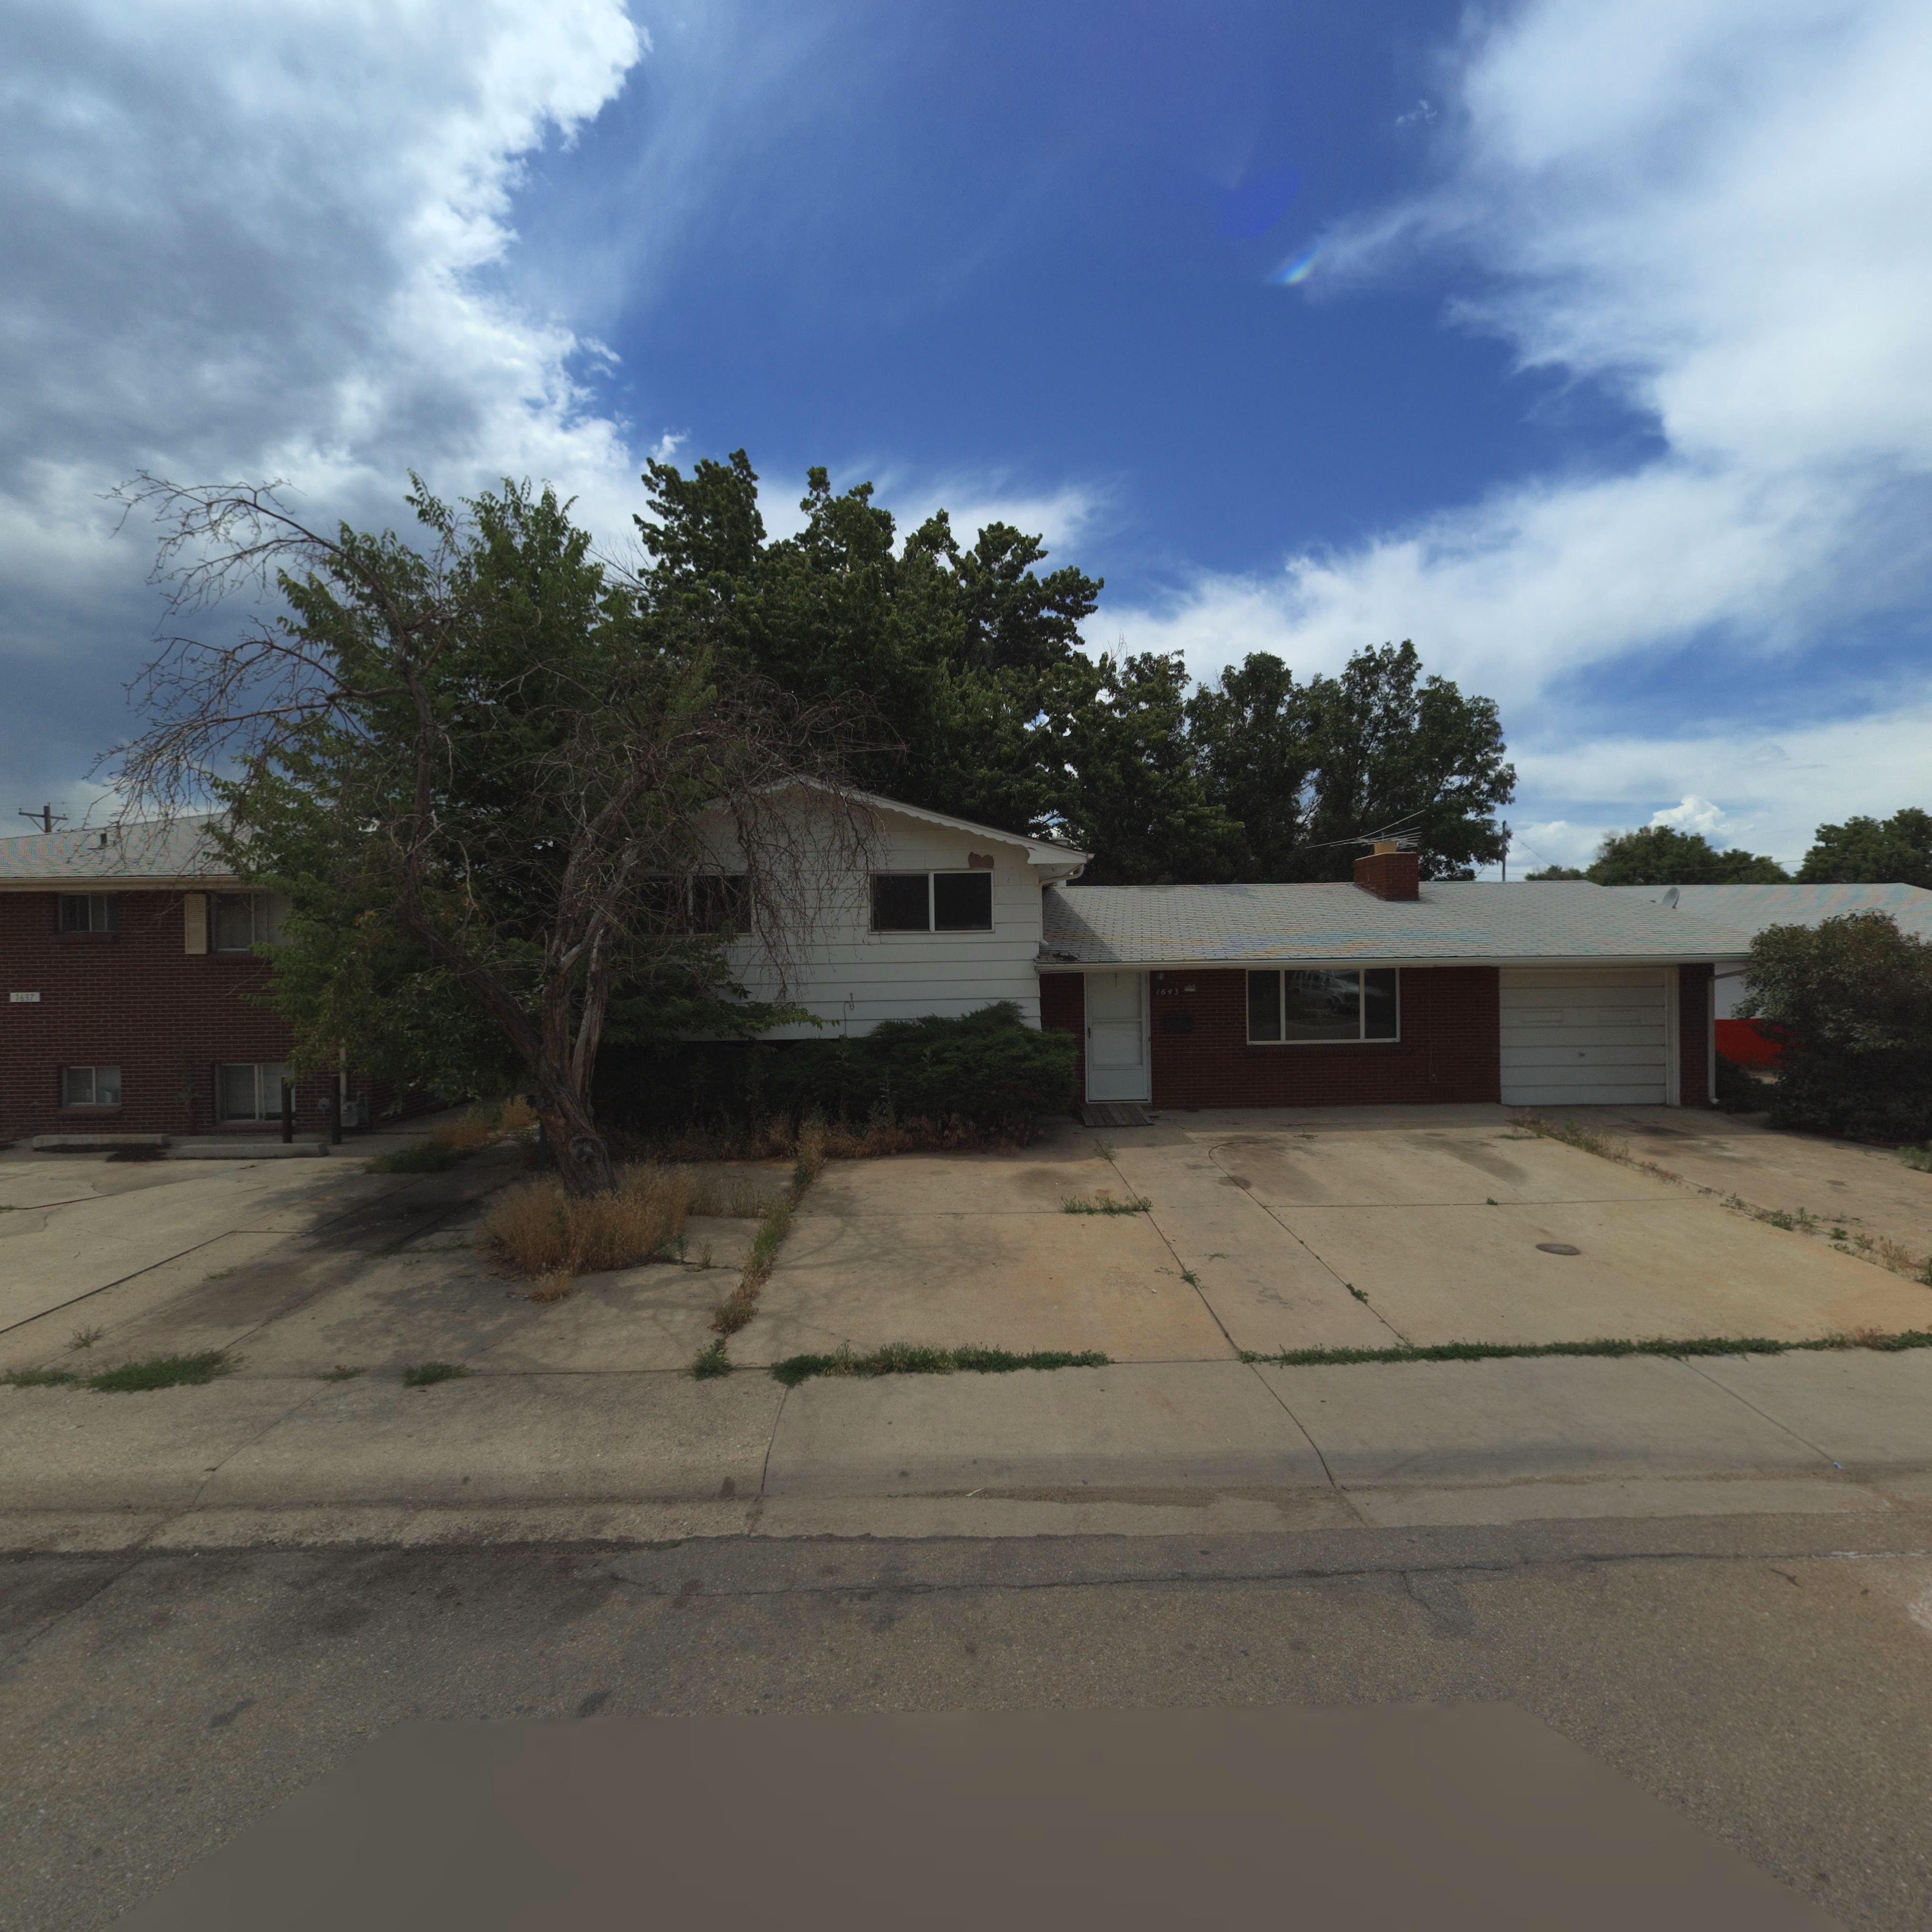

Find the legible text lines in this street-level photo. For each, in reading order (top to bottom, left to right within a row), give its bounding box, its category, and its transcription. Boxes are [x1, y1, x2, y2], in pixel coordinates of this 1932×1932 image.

[1156, 988, 1179, 995] StreetNumber: 1643
[15, 993, 35, 1002] StreetNumber: 1637